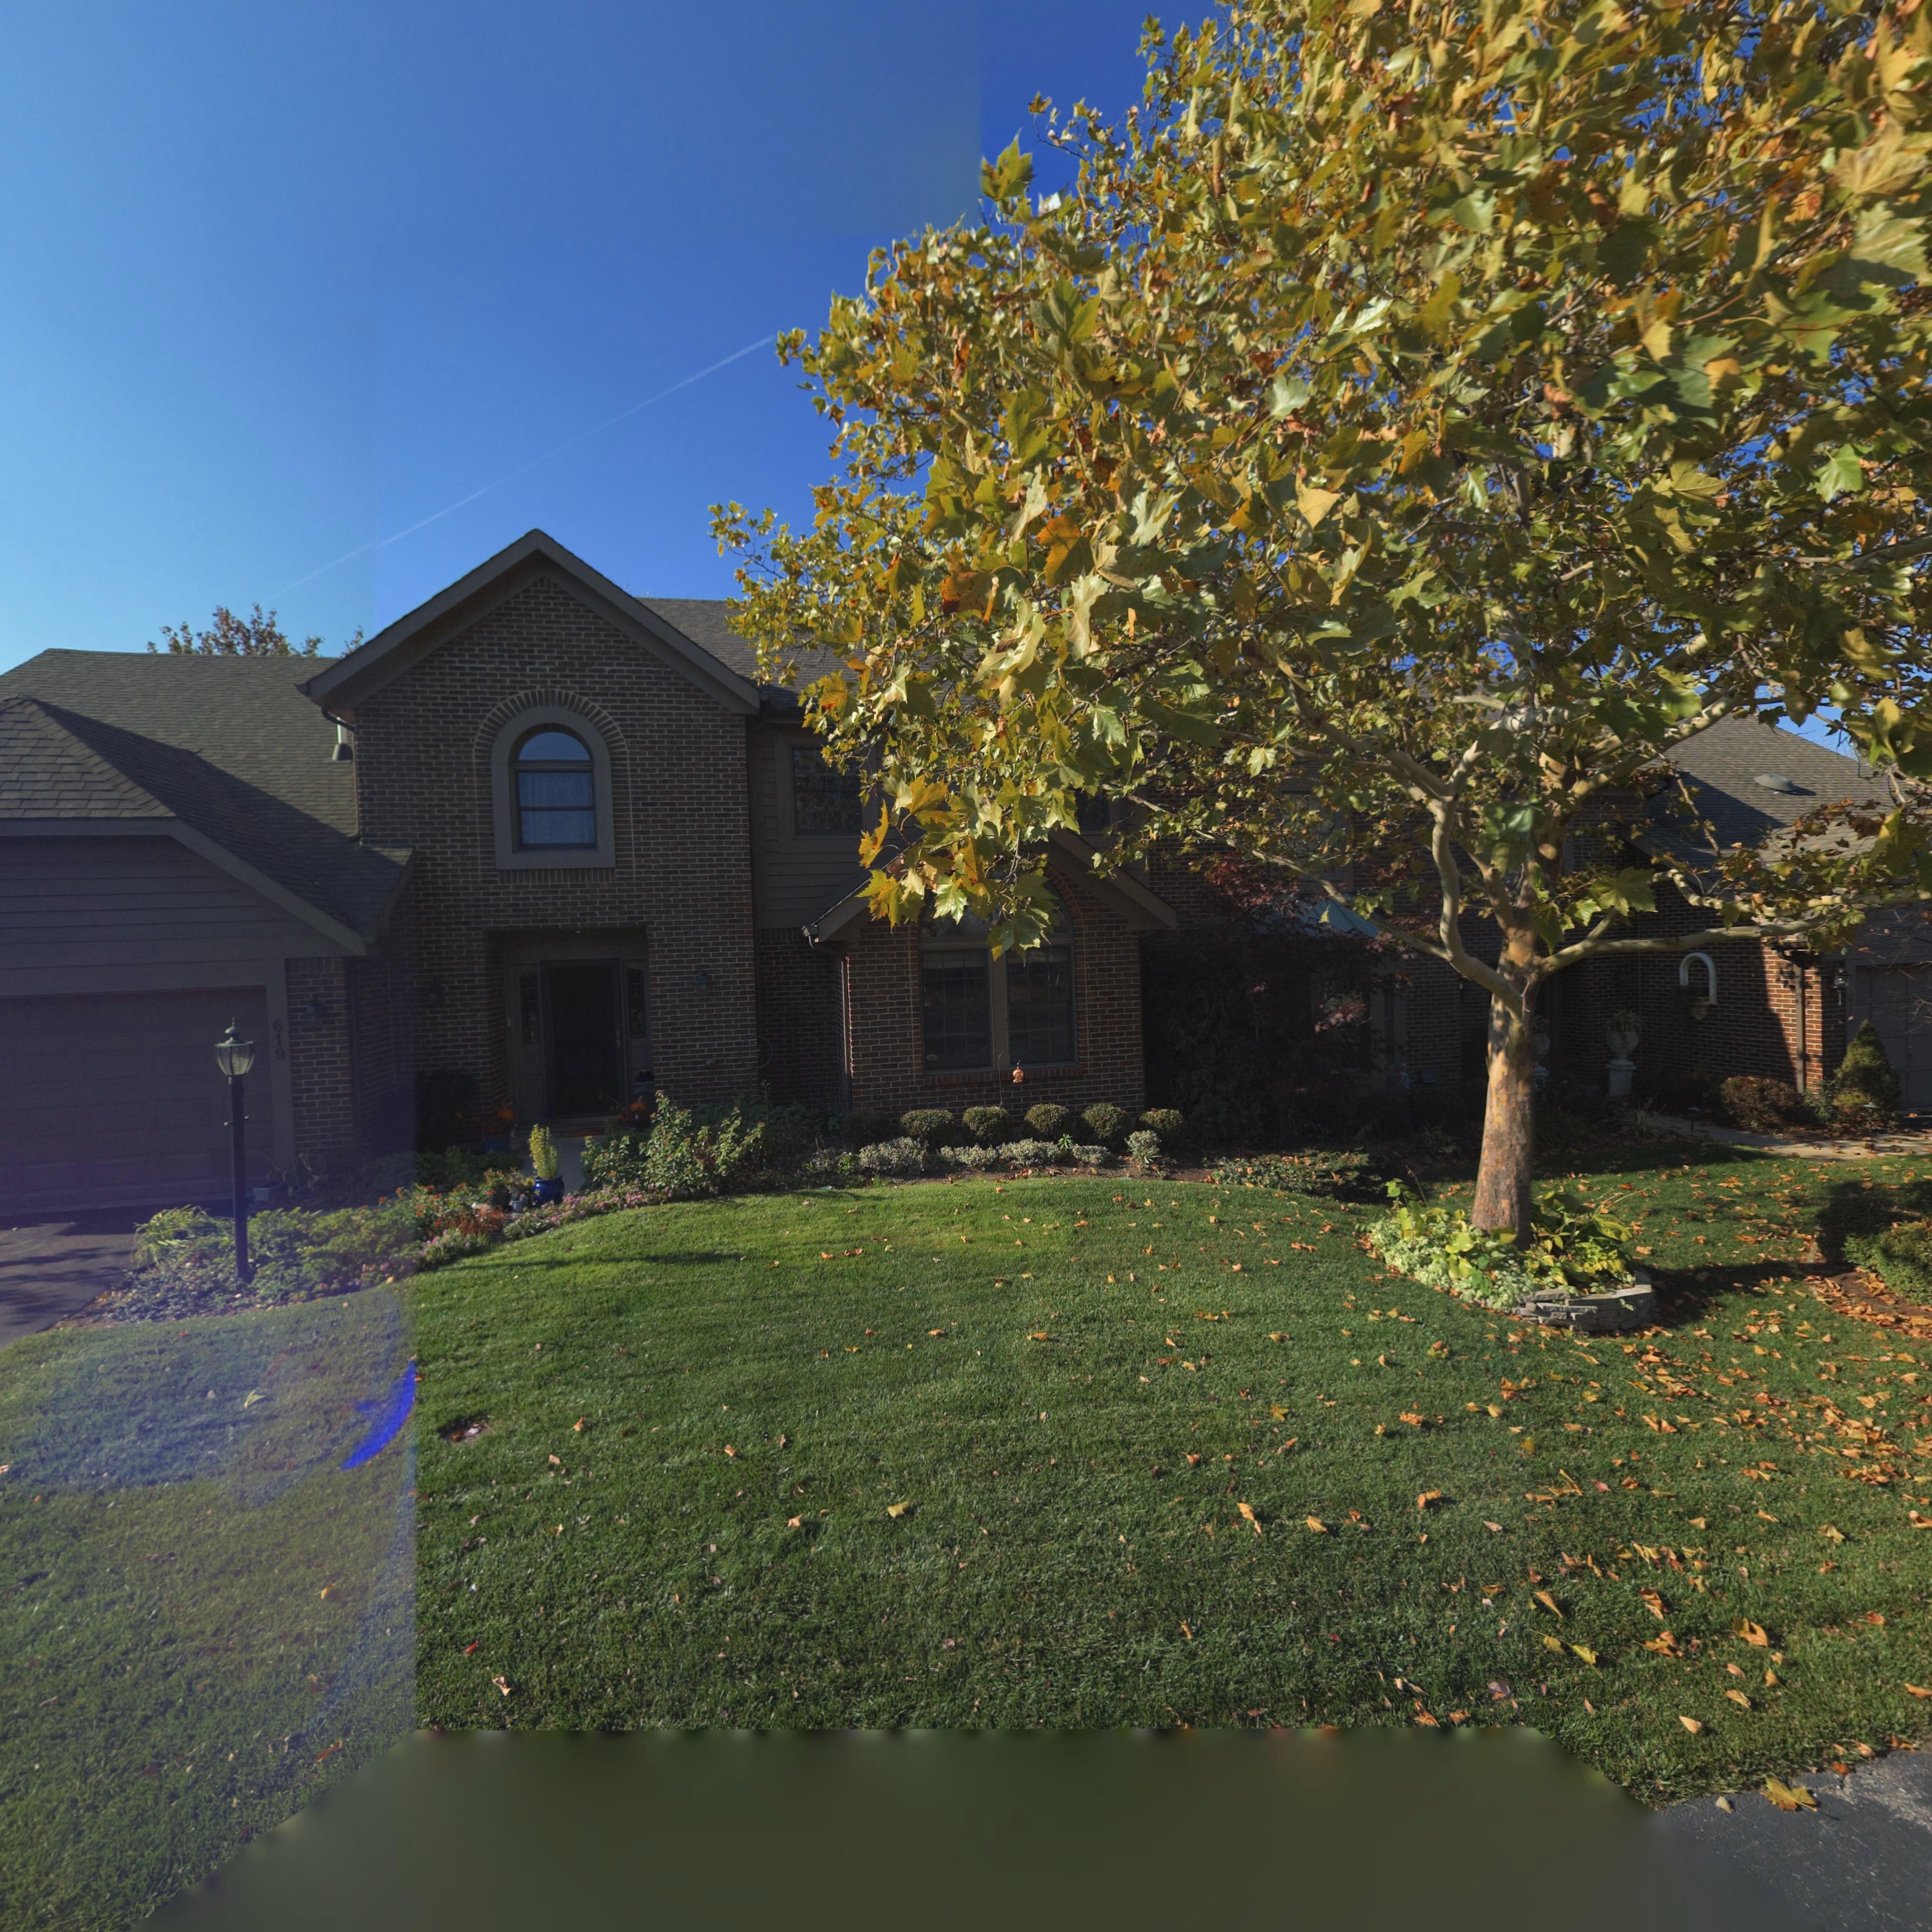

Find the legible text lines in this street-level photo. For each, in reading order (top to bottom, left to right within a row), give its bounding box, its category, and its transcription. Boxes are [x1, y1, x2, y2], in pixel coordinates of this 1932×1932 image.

[1846, 991, 1856, 1025] StreetNumber: 61*
[272, 1017, 285, 1062] StreetNumber: 619